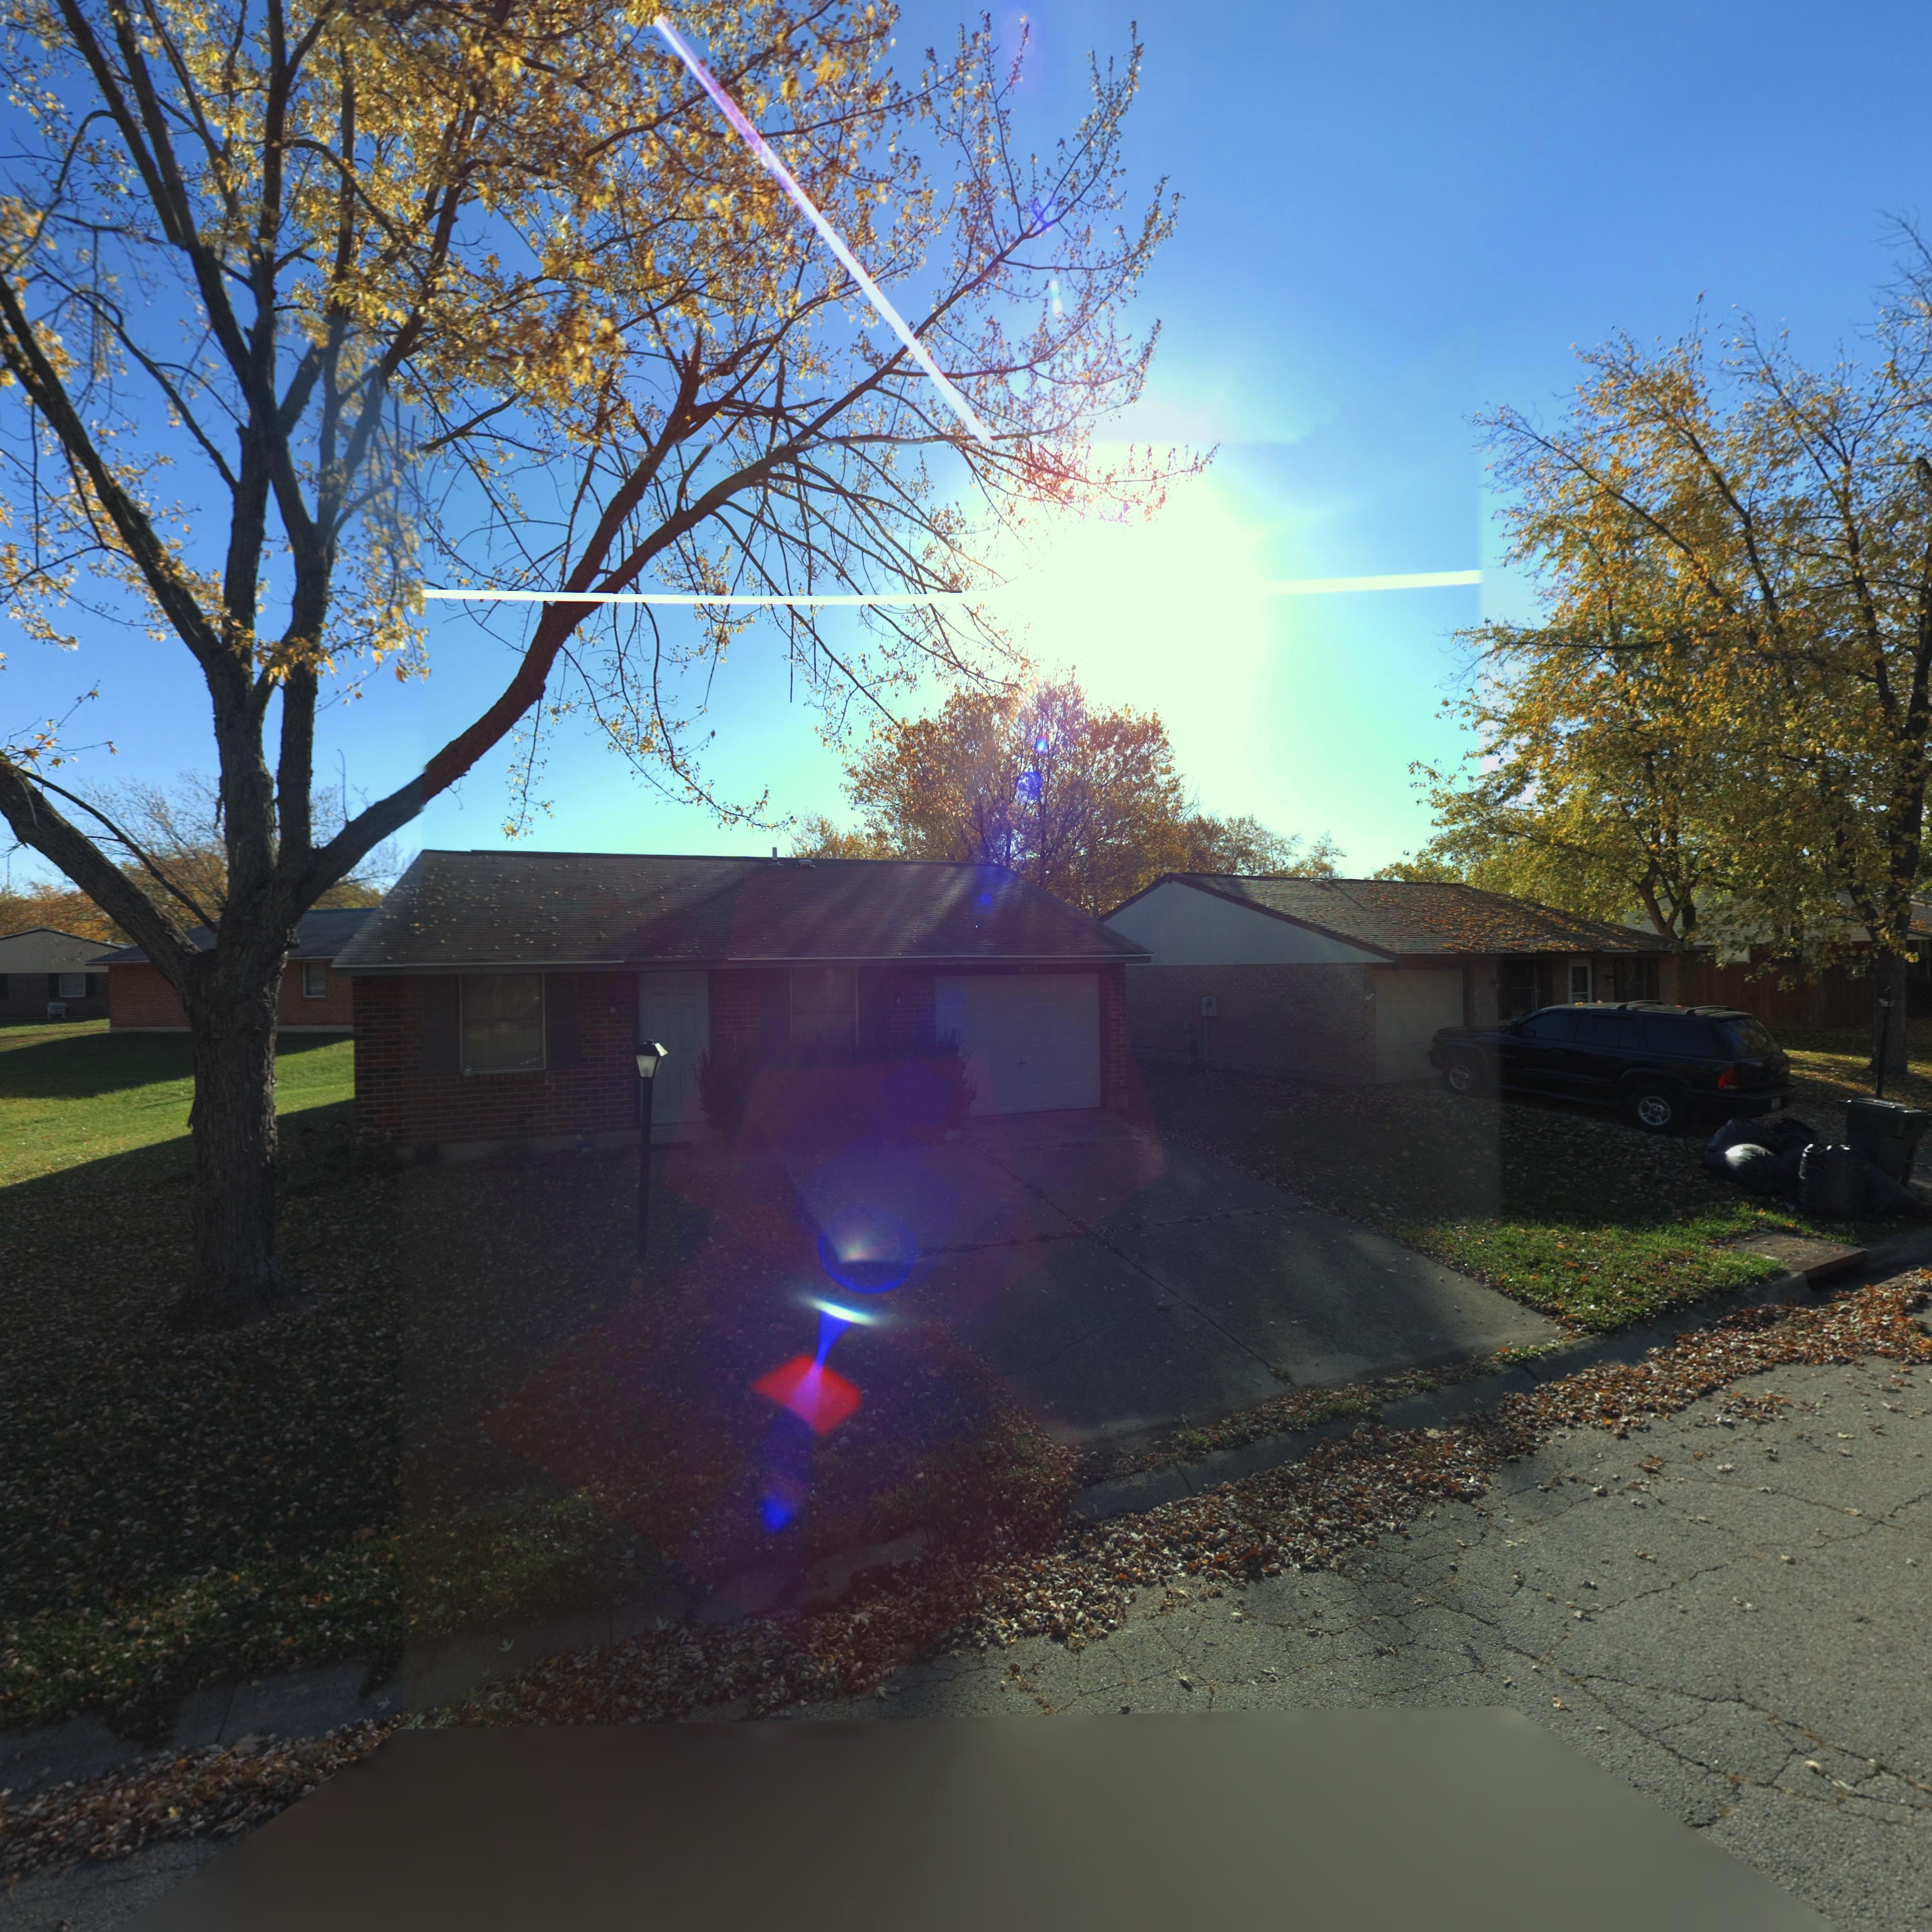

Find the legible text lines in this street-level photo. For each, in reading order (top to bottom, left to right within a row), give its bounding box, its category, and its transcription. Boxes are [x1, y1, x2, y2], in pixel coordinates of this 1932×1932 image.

[1021, 965, 1038, 973] StreetNumber: 8172
[1428, 962, 1432, 969] StreetNumber: 4